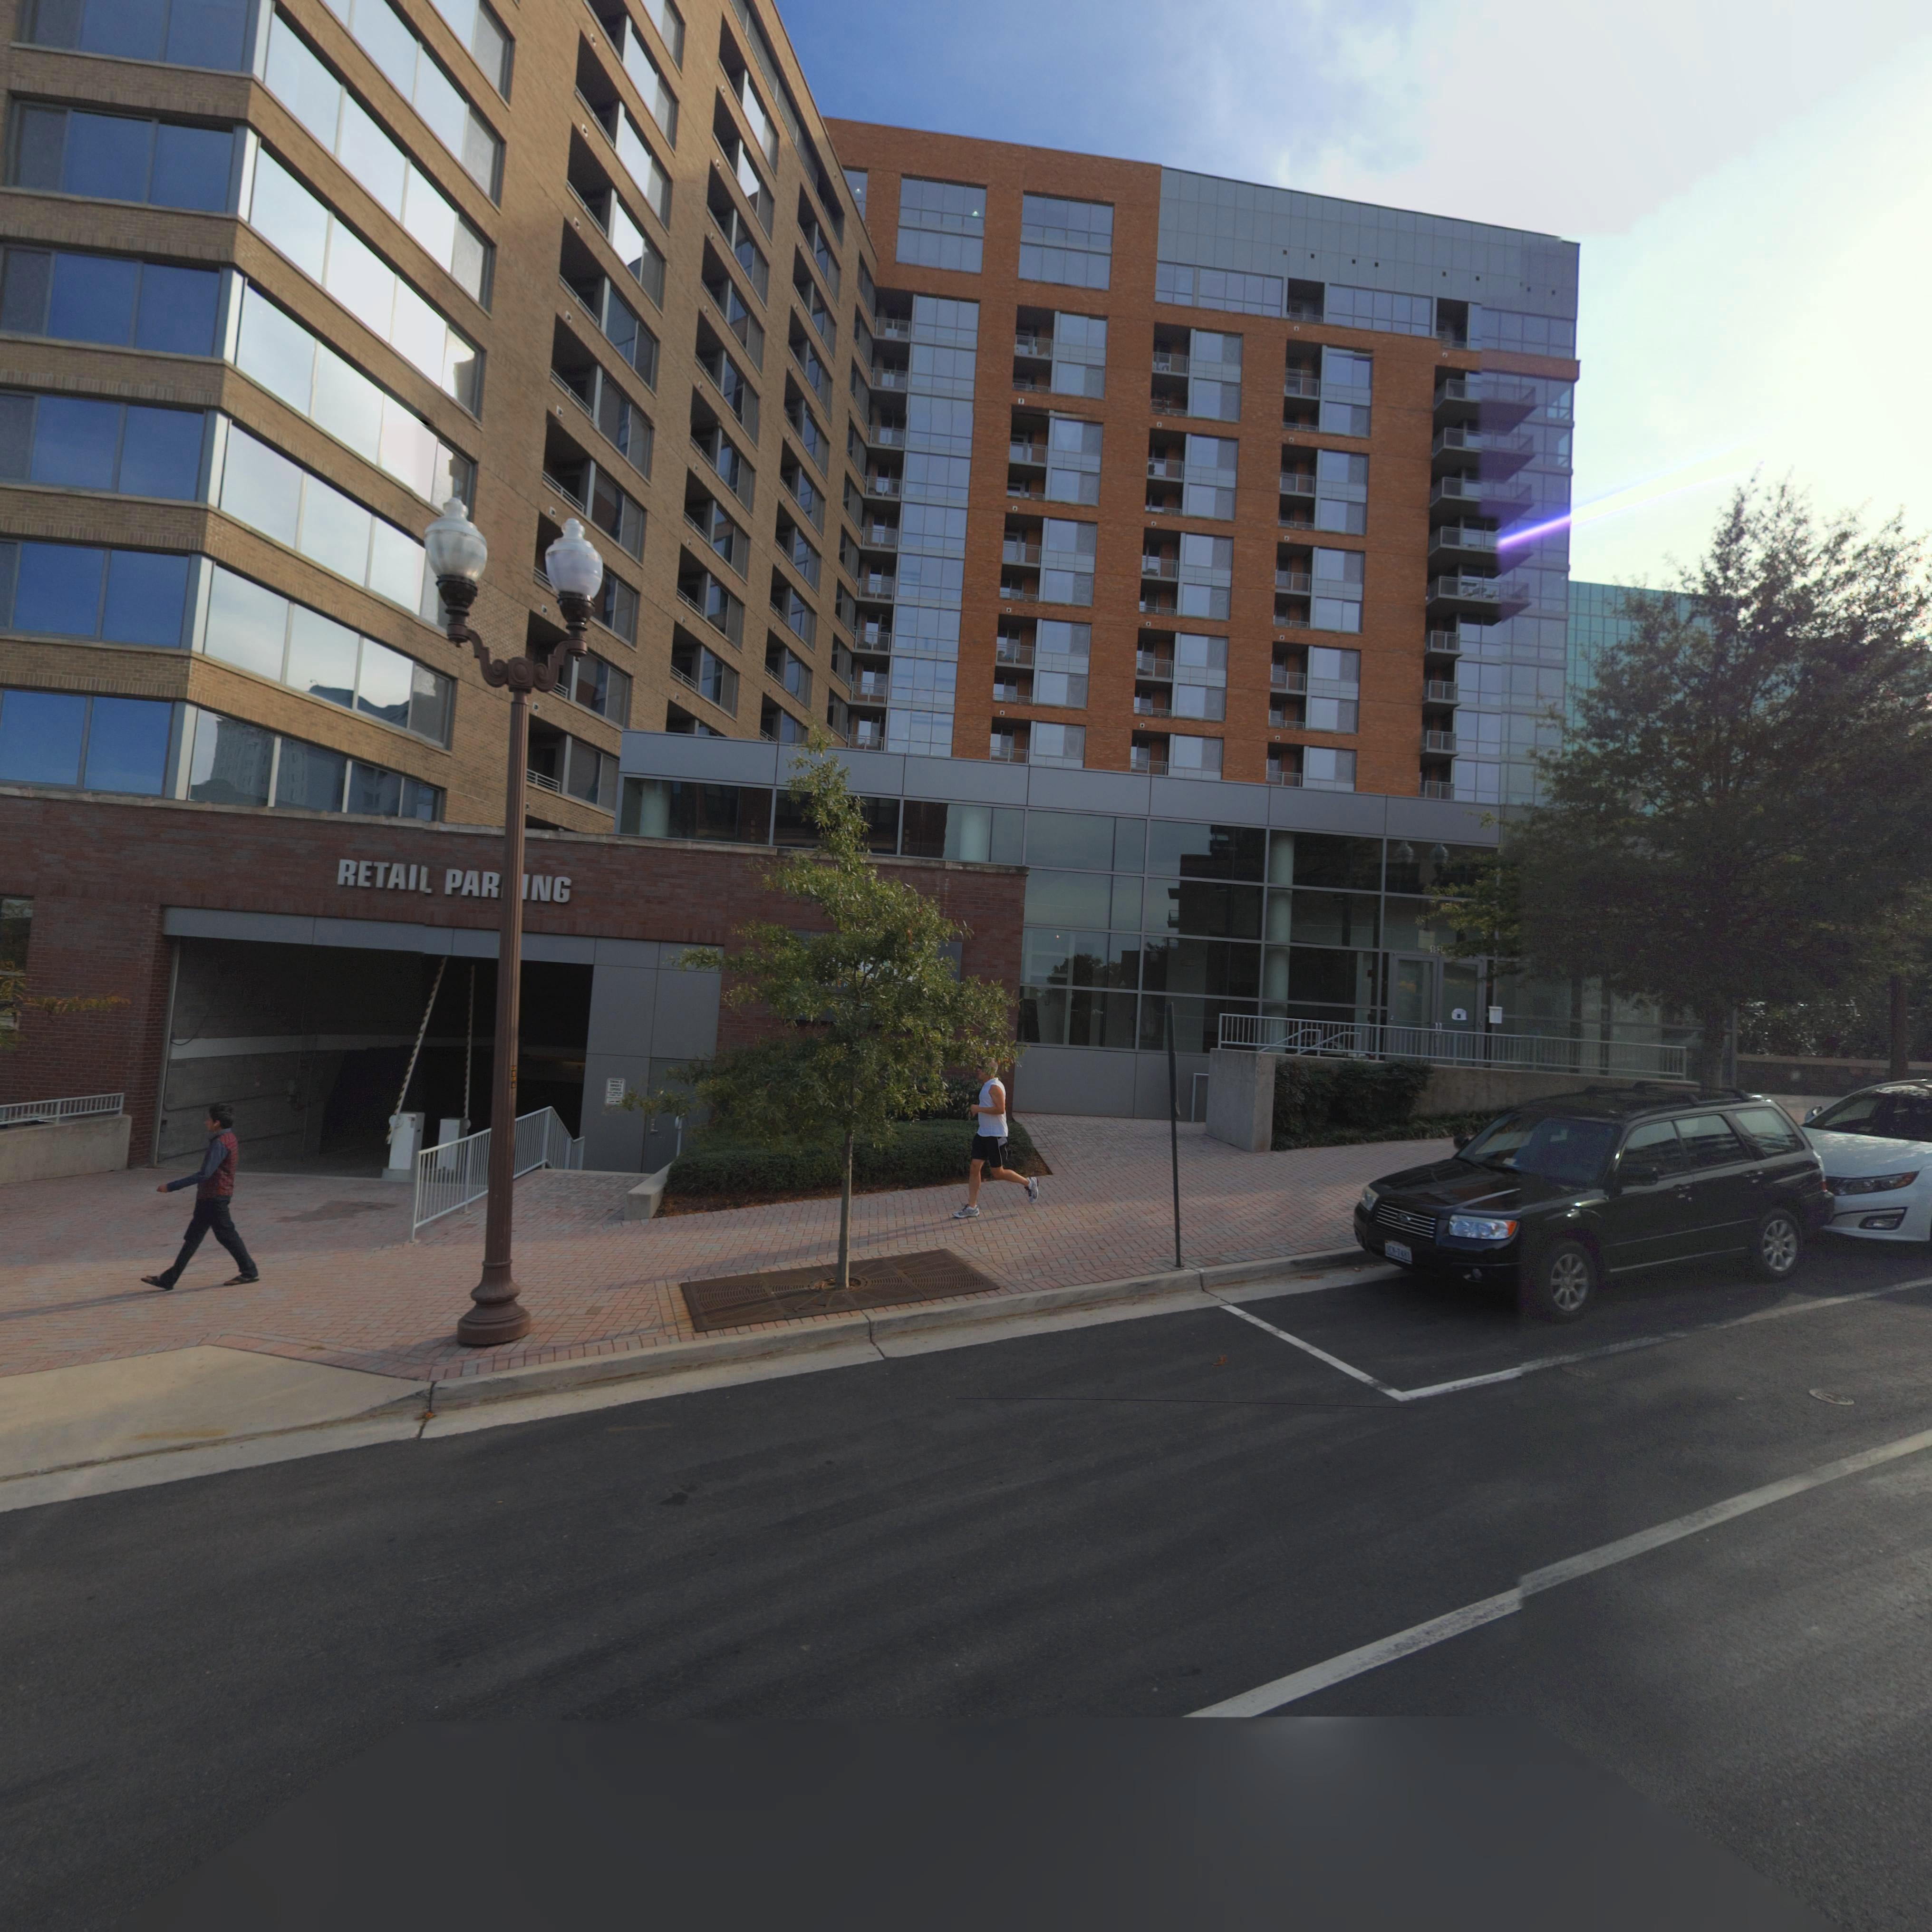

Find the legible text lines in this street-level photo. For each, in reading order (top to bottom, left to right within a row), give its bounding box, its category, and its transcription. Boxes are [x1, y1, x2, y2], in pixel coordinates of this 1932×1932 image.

[334, 855, 504, 901] None: RETAI* PAR
[528, 872, 574, 905] None: NG